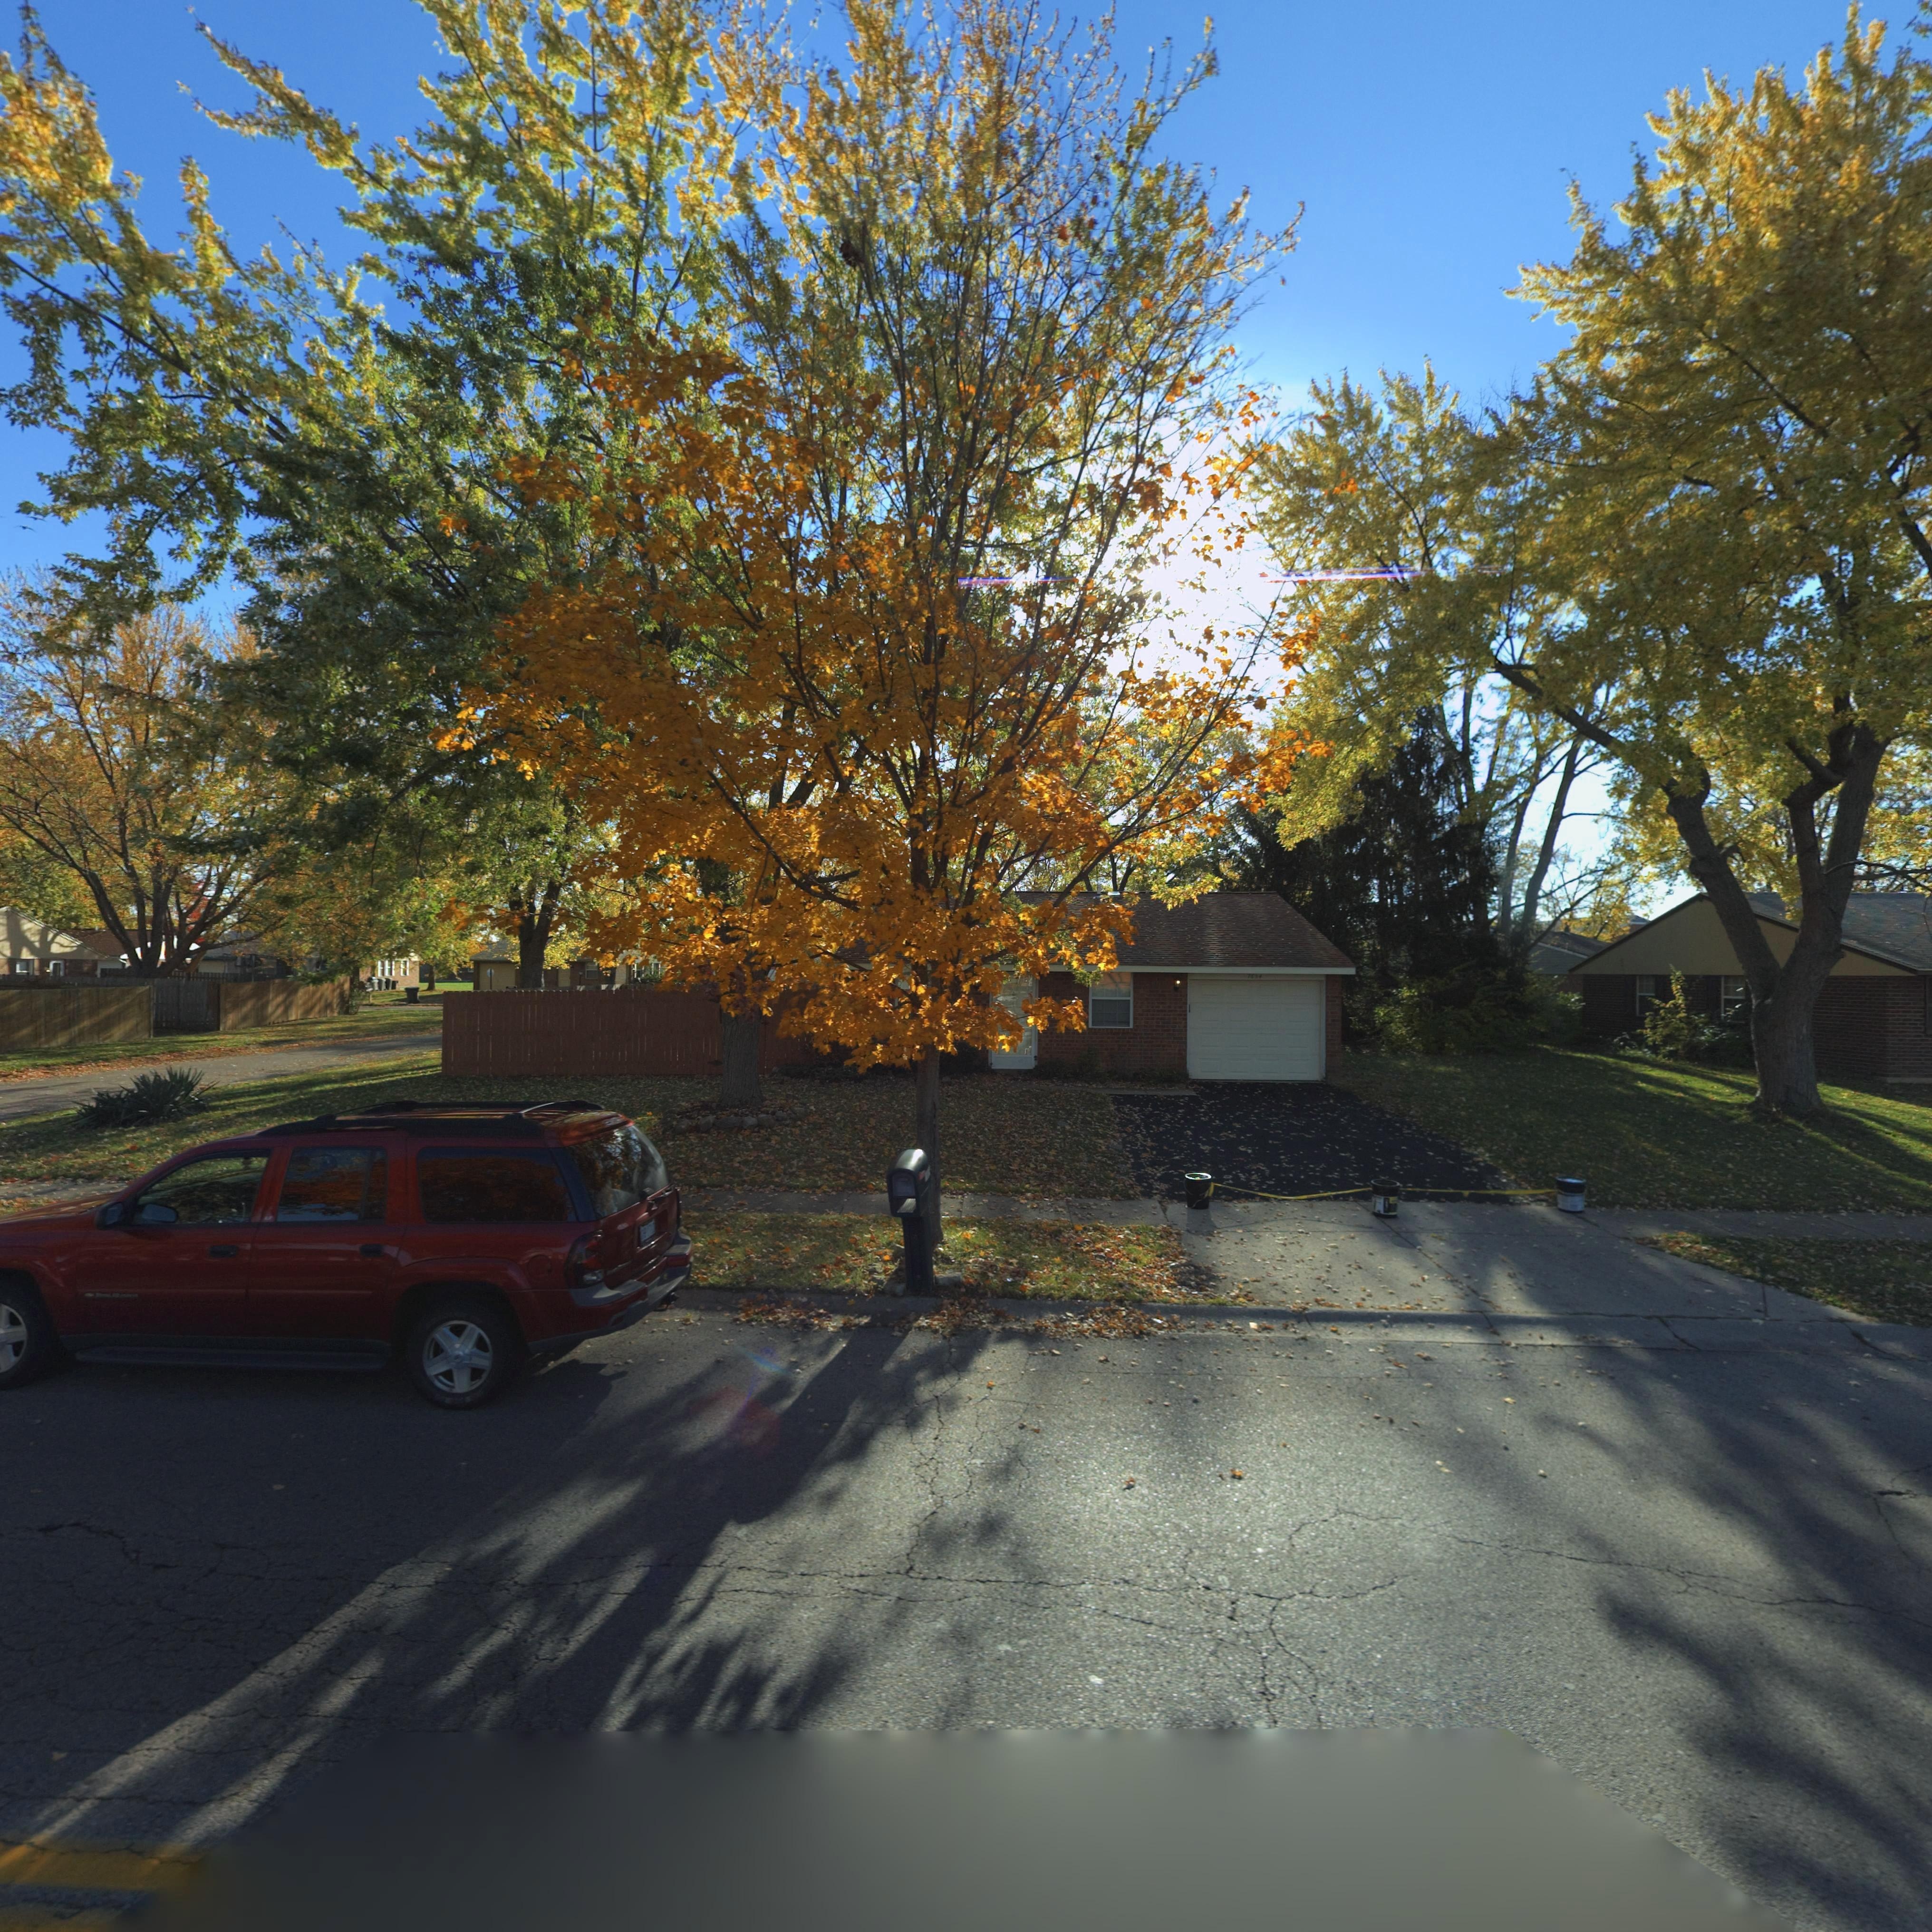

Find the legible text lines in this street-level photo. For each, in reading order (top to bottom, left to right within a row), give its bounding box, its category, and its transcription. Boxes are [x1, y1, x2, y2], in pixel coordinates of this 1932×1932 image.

[1246, 973, 1264, 980] StreetNumber: 76**